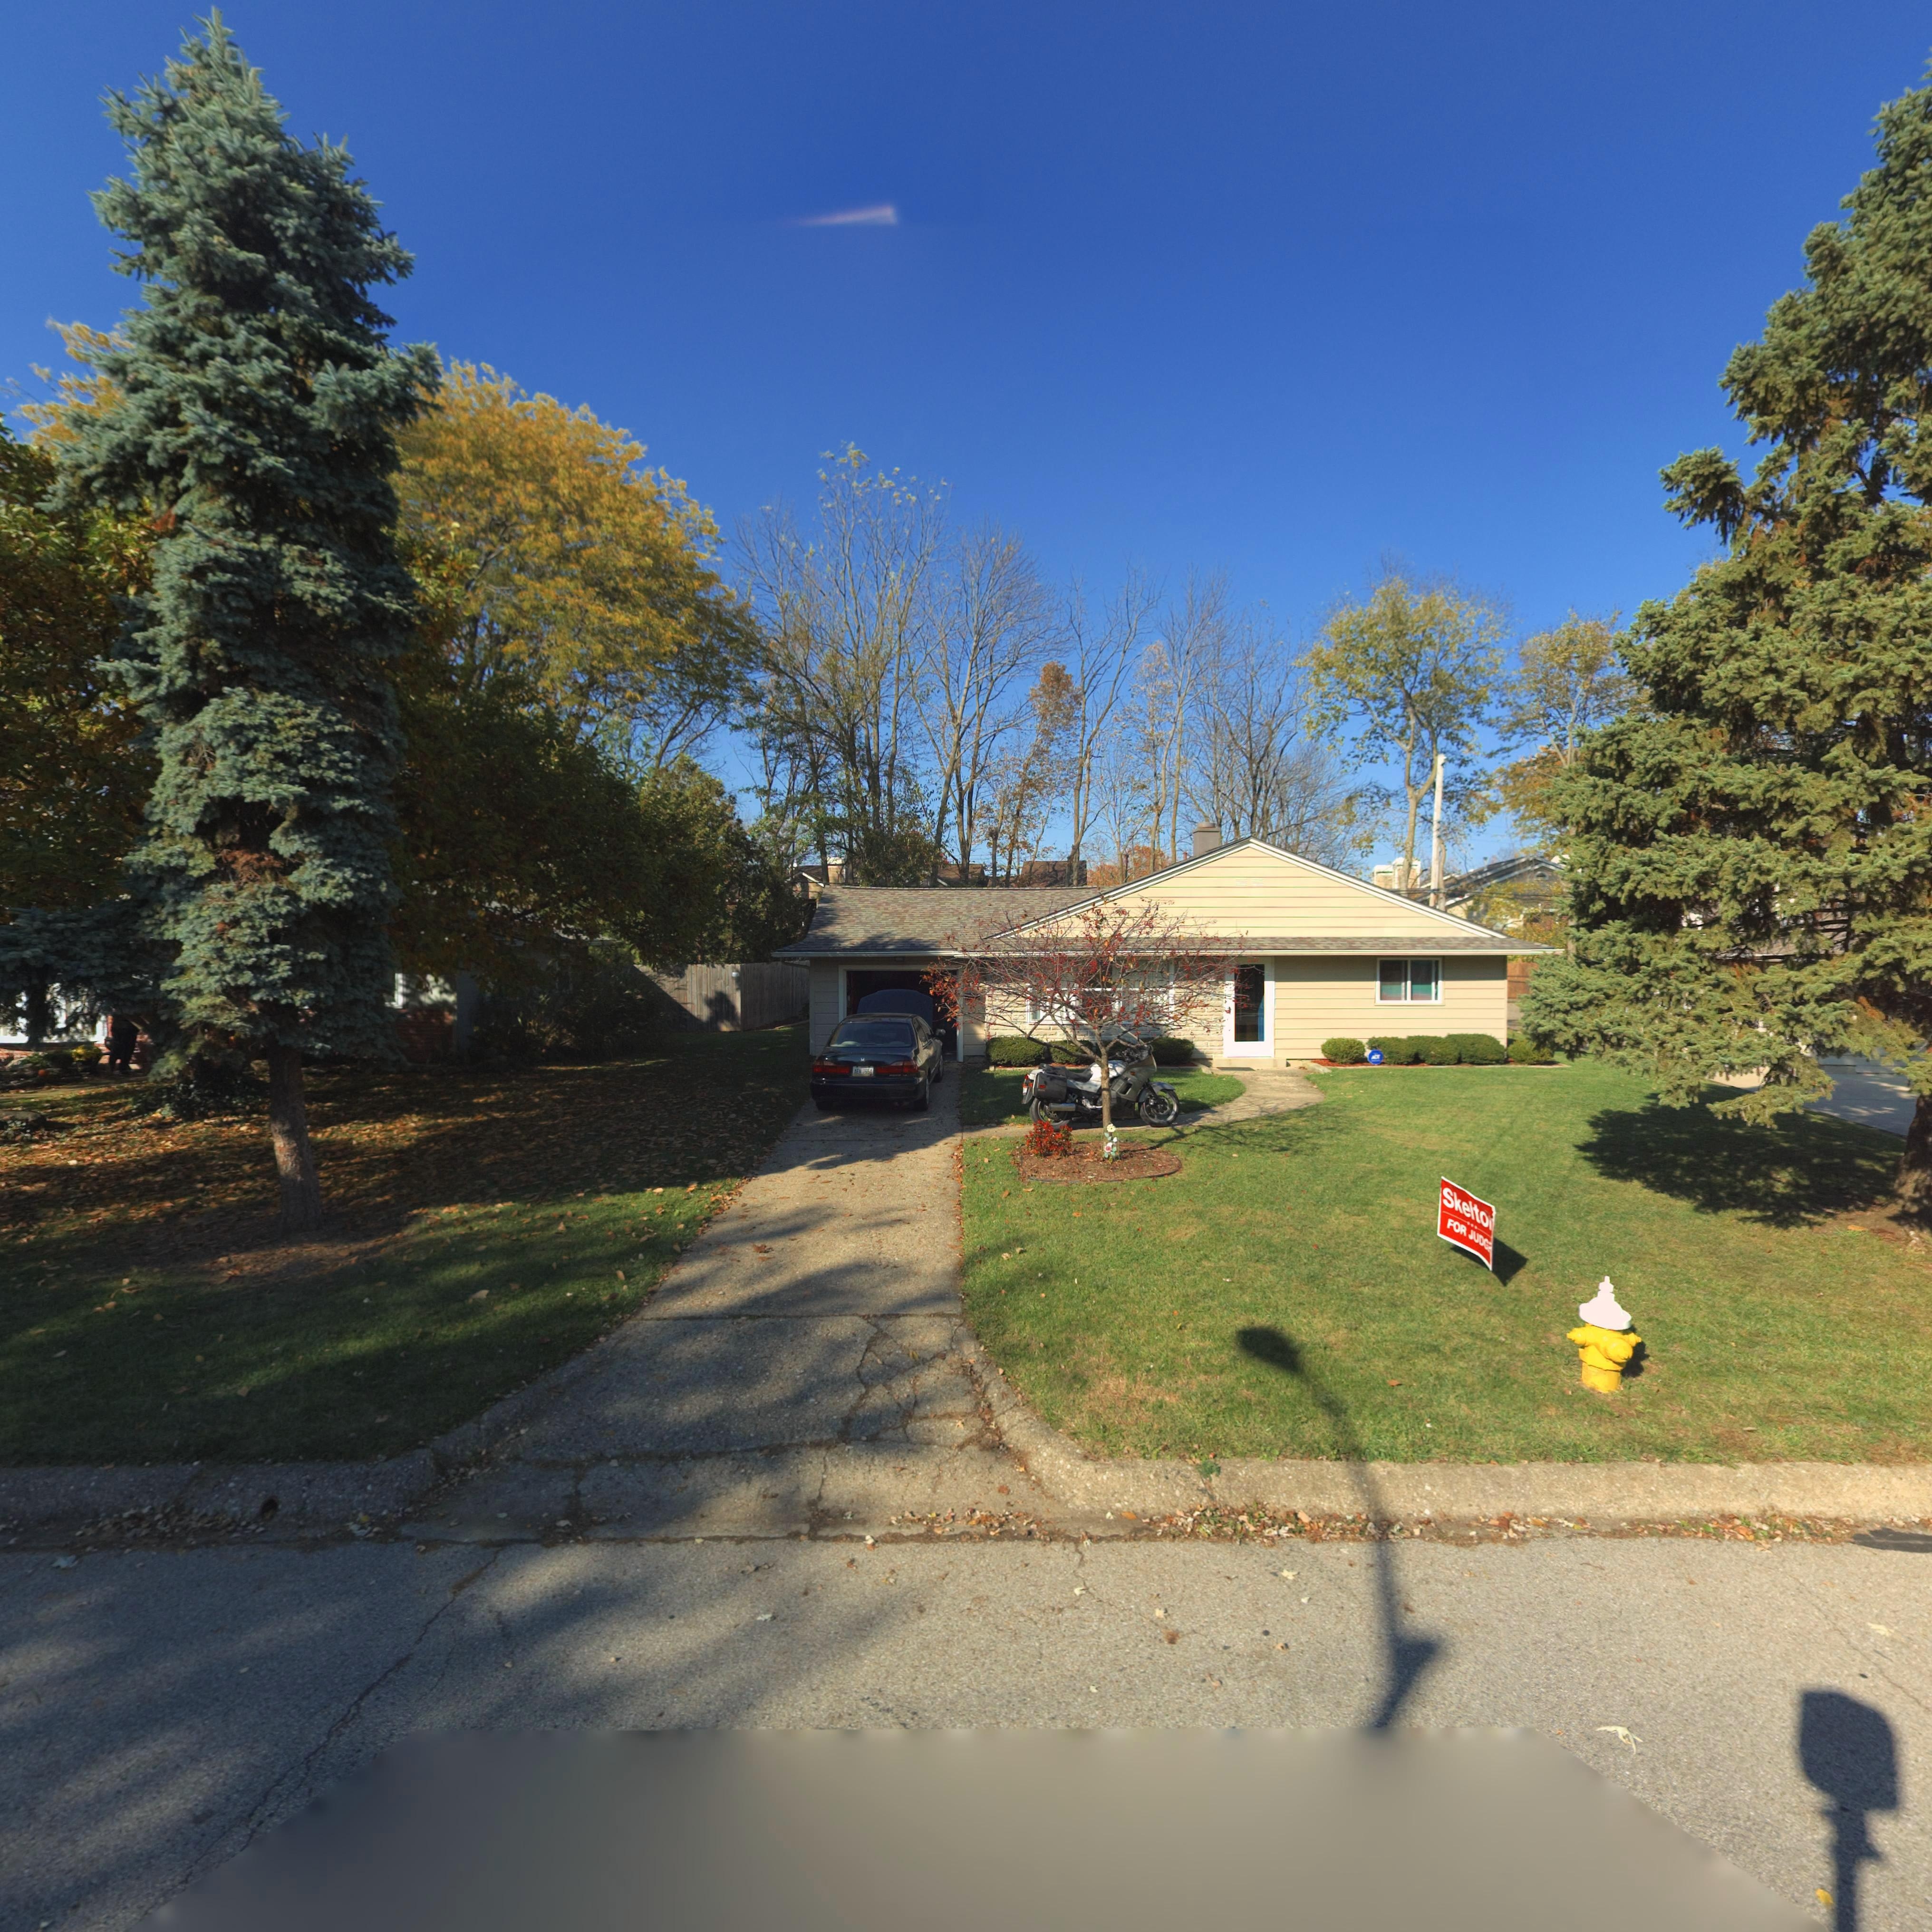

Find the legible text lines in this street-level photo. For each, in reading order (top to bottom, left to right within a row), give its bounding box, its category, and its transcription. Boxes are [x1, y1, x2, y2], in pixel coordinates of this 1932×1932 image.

[854, 1068, 872, 1074] None: AEW 3654
[1371, 1054, 1381, 1059] None: ADT
[1442, 1183, 1489, 1230] None: Skelto
[1447, 1216, 1488, 1251] None: FOR JUDG